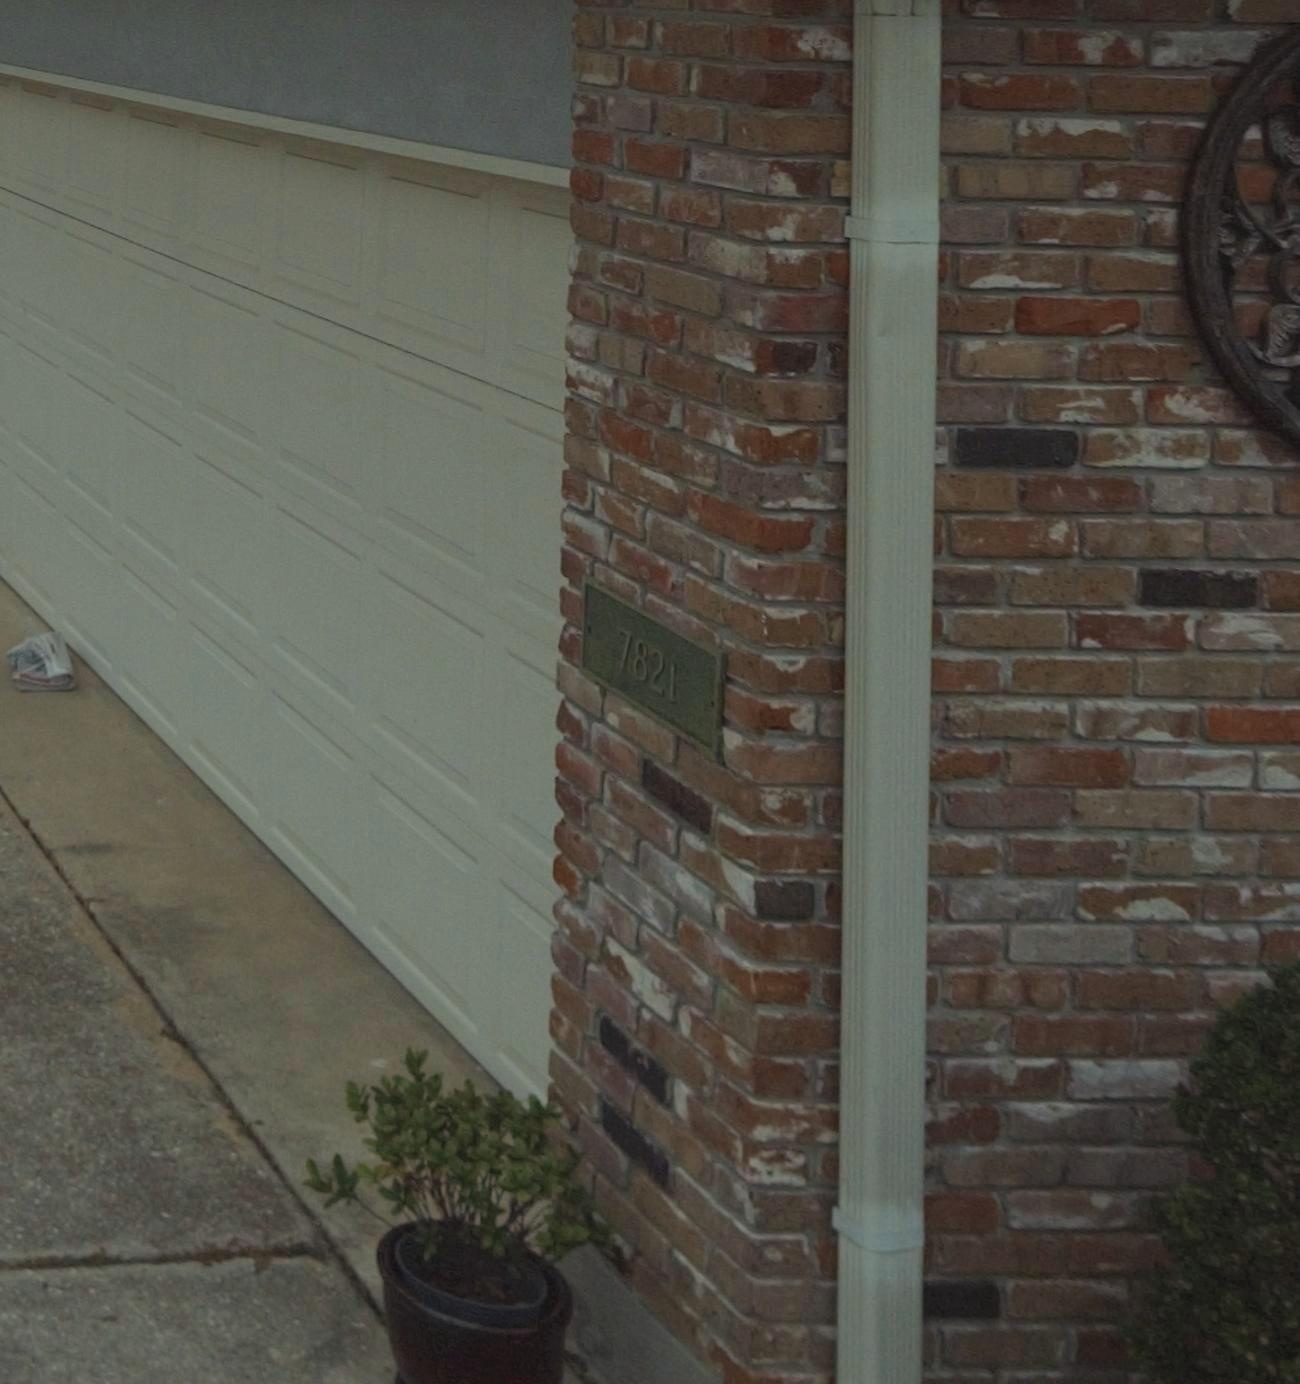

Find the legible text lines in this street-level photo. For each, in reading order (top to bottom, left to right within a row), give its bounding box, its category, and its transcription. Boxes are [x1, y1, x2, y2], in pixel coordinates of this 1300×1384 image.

[616, 627, 678, 706] StreetNumber: 7821